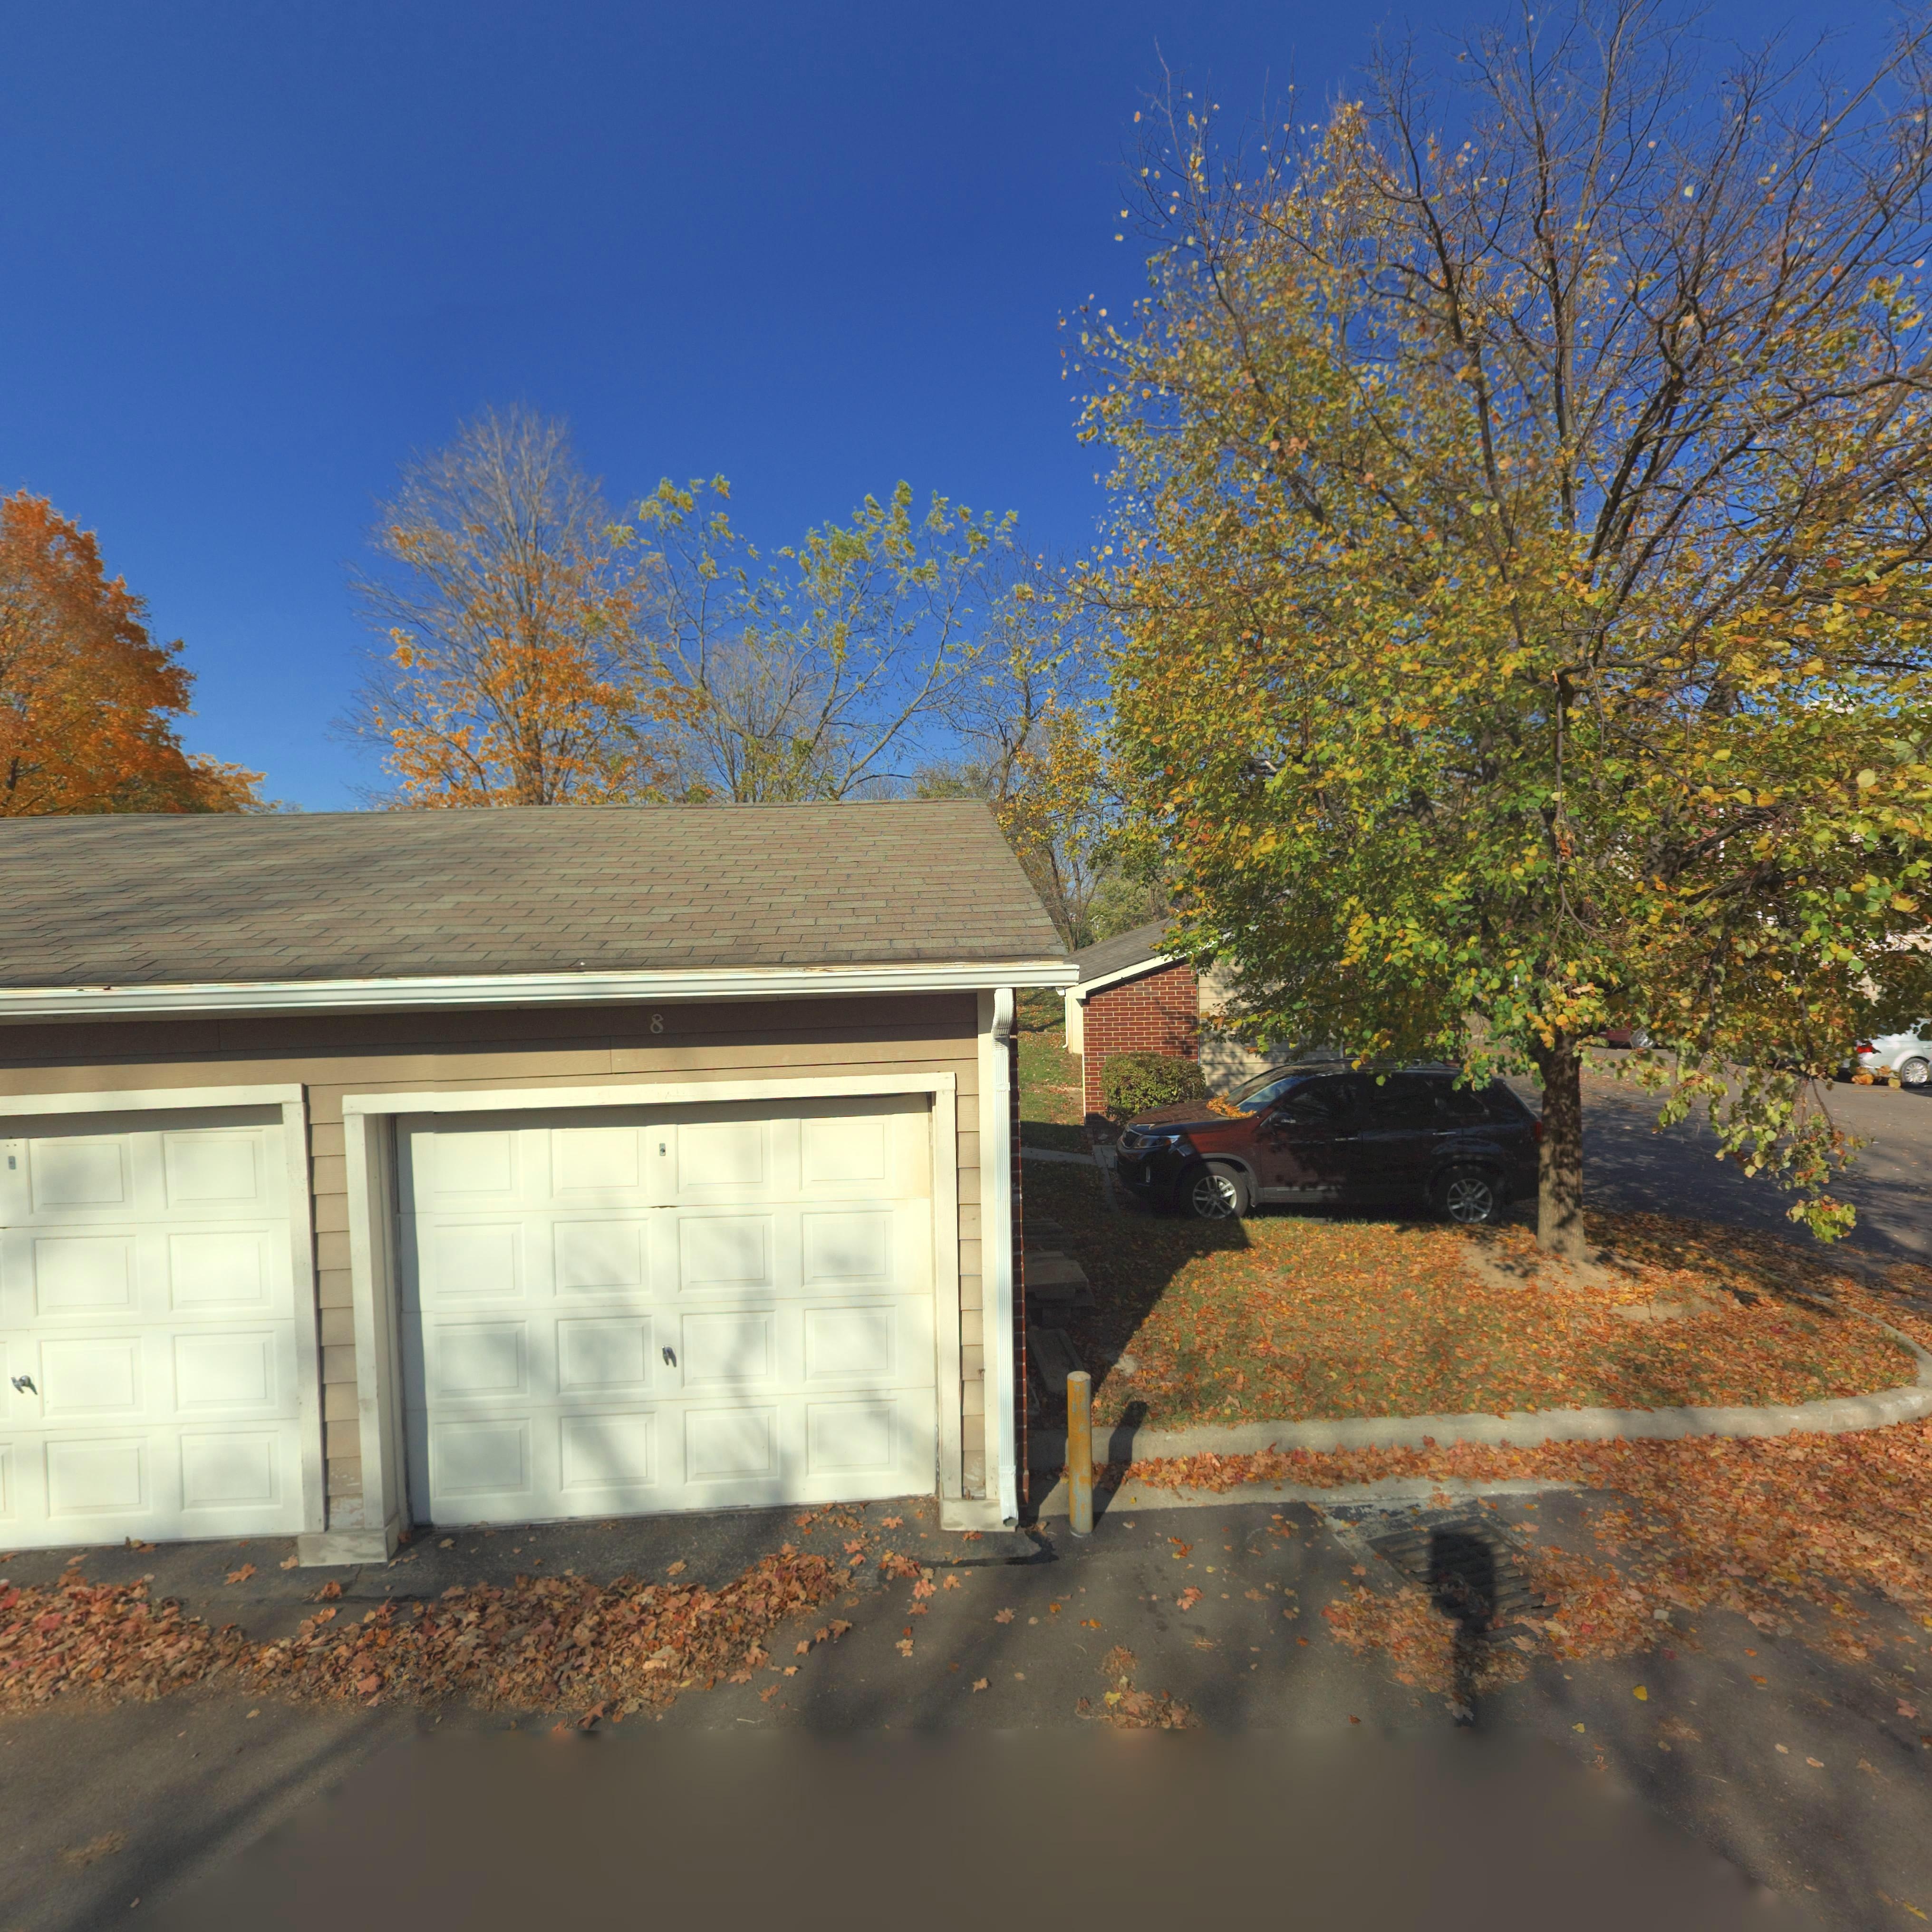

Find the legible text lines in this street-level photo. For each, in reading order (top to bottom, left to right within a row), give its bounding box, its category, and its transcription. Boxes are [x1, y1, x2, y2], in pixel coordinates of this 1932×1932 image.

[649, 1012, 665, 1035] StreetNumber: 8